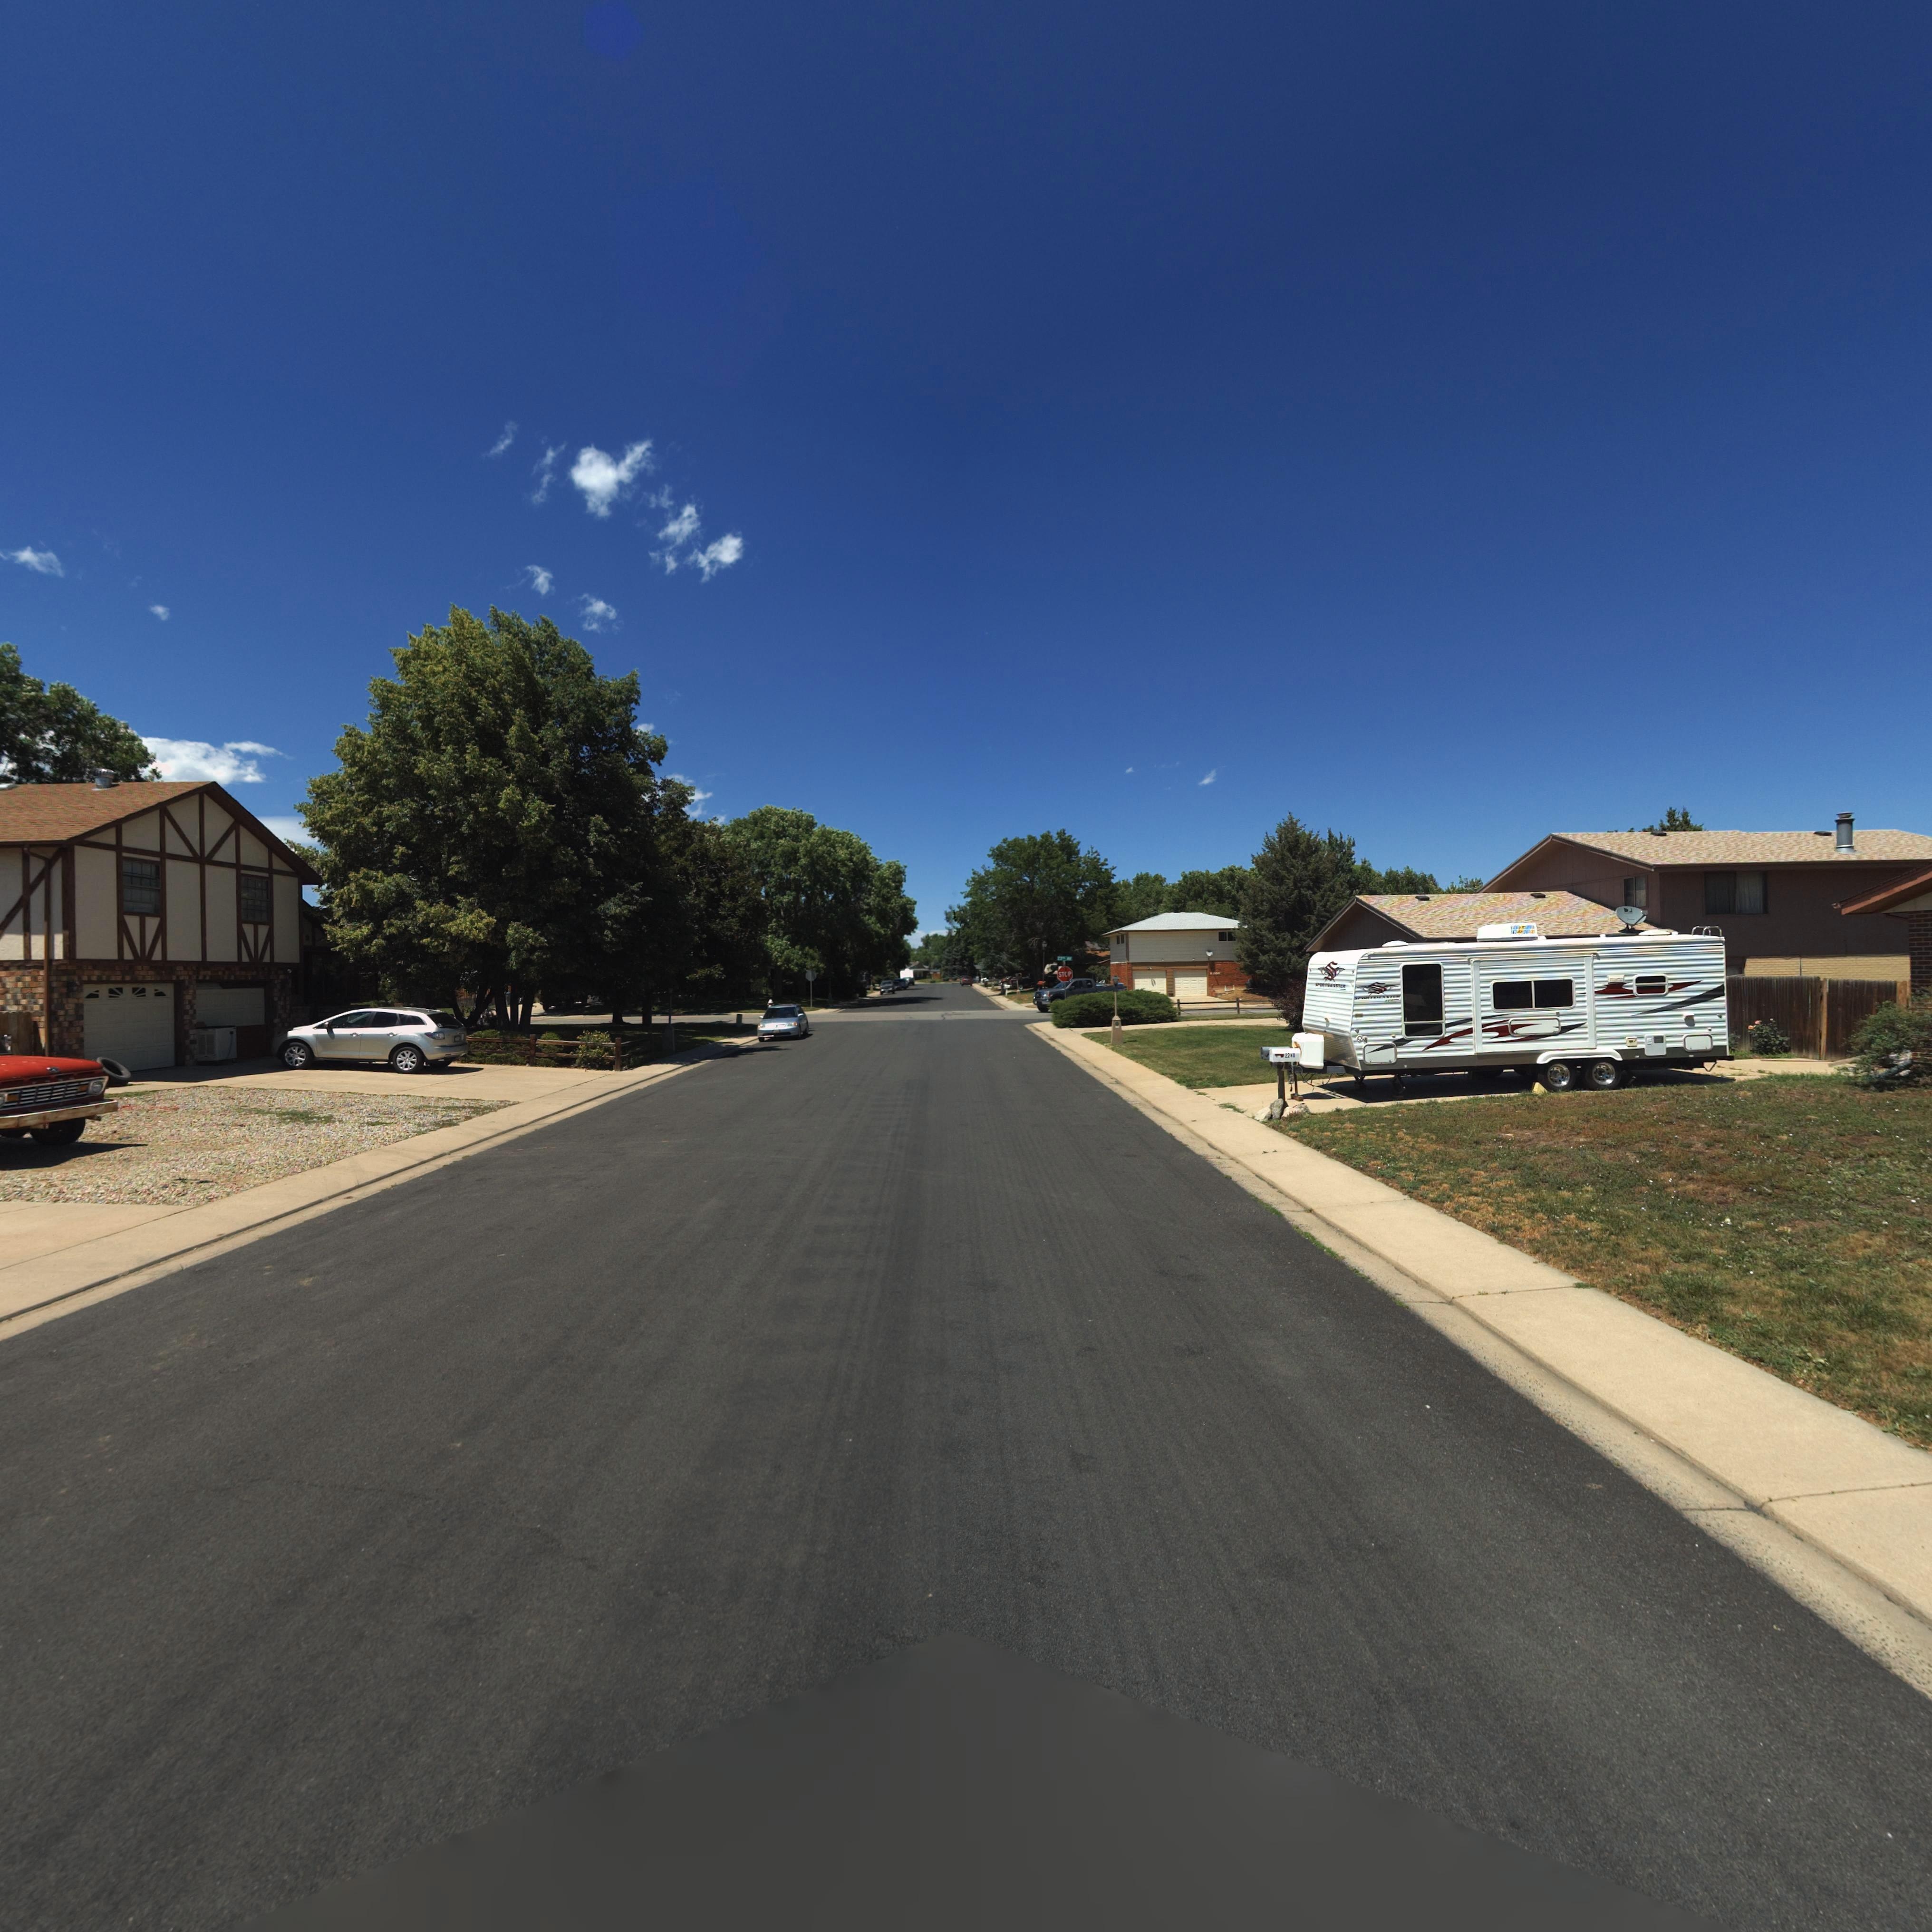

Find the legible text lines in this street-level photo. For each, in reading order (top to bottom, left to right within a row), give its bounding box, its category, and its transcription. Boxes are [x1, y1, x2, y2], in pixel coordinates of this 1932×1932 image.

[1057, 956, 1072, 960] StreetName: 23** AV
[1284, 1053, 1295, 1058] StreetNumber: 224*